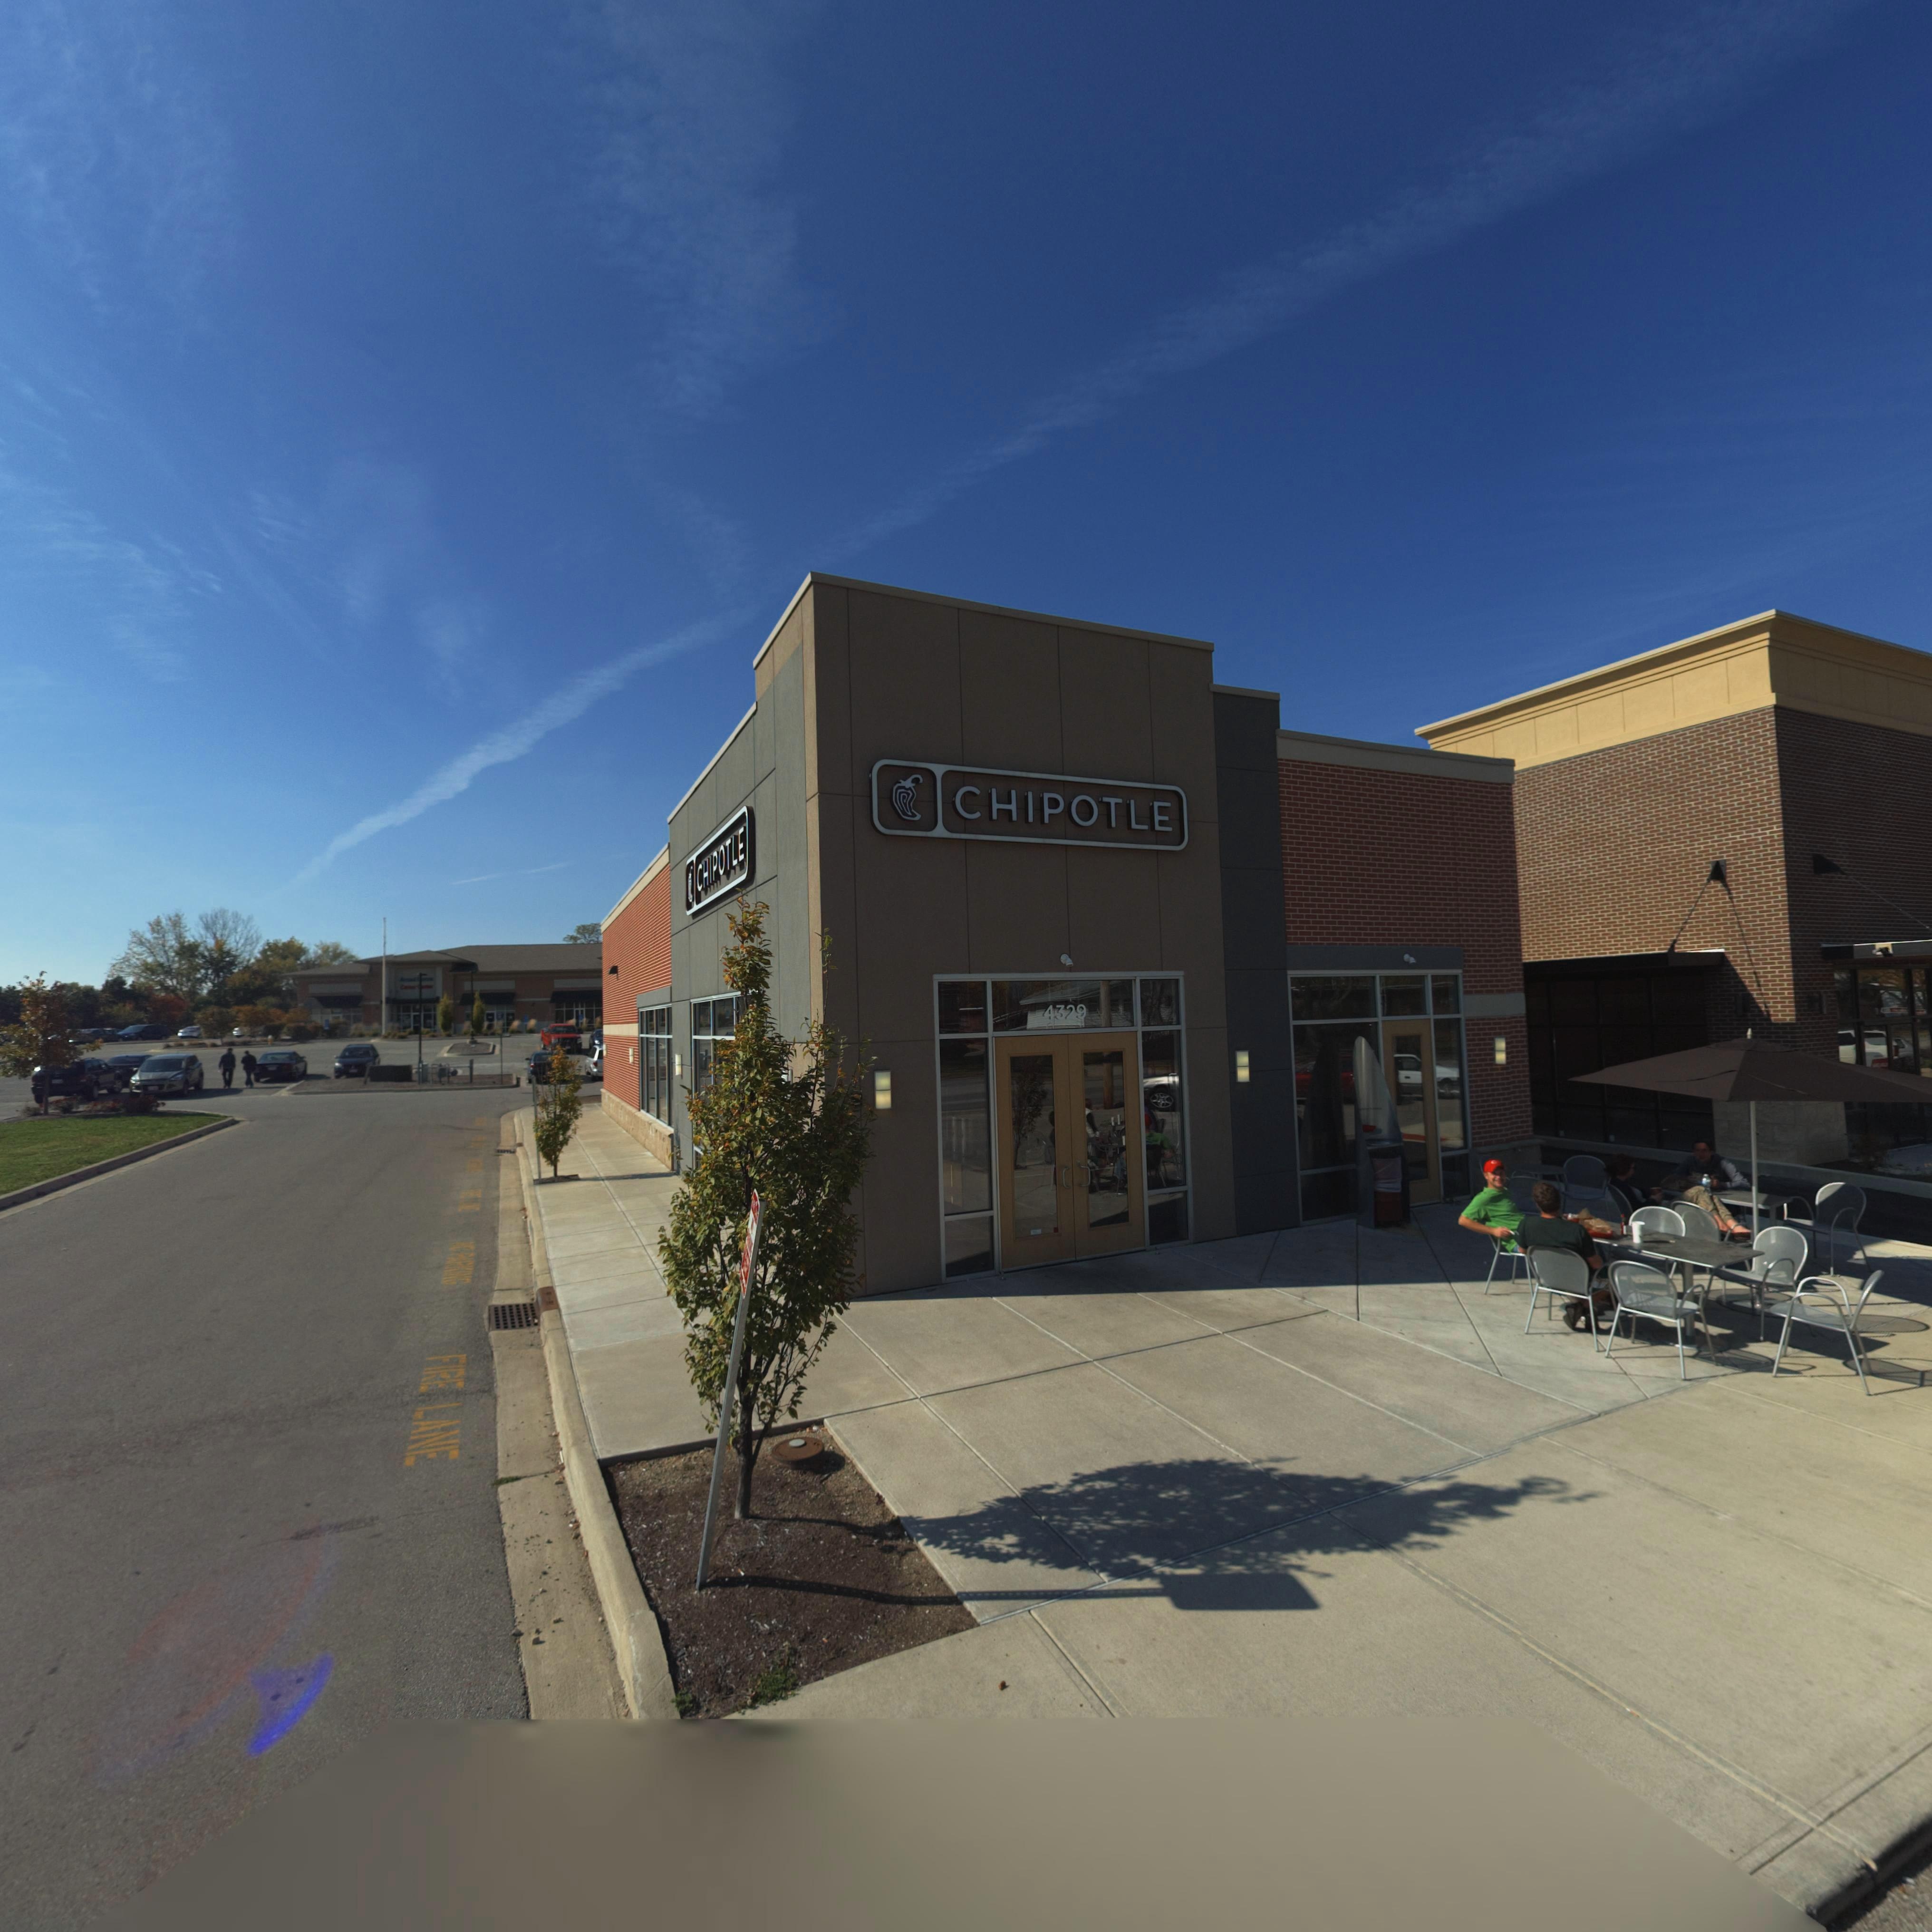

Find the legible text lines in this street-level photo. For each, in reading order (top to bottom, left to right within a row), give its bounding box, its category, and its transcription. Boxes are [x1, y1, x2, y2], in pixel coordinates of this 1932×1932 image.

[953, 784, 1174, 833] BusinessName: CHIPOTLE
[696, 824, 745, 893] BusinessName: CHIPOTLE
[1042, 1003, 1088, 1022] StreetNumber: 4329